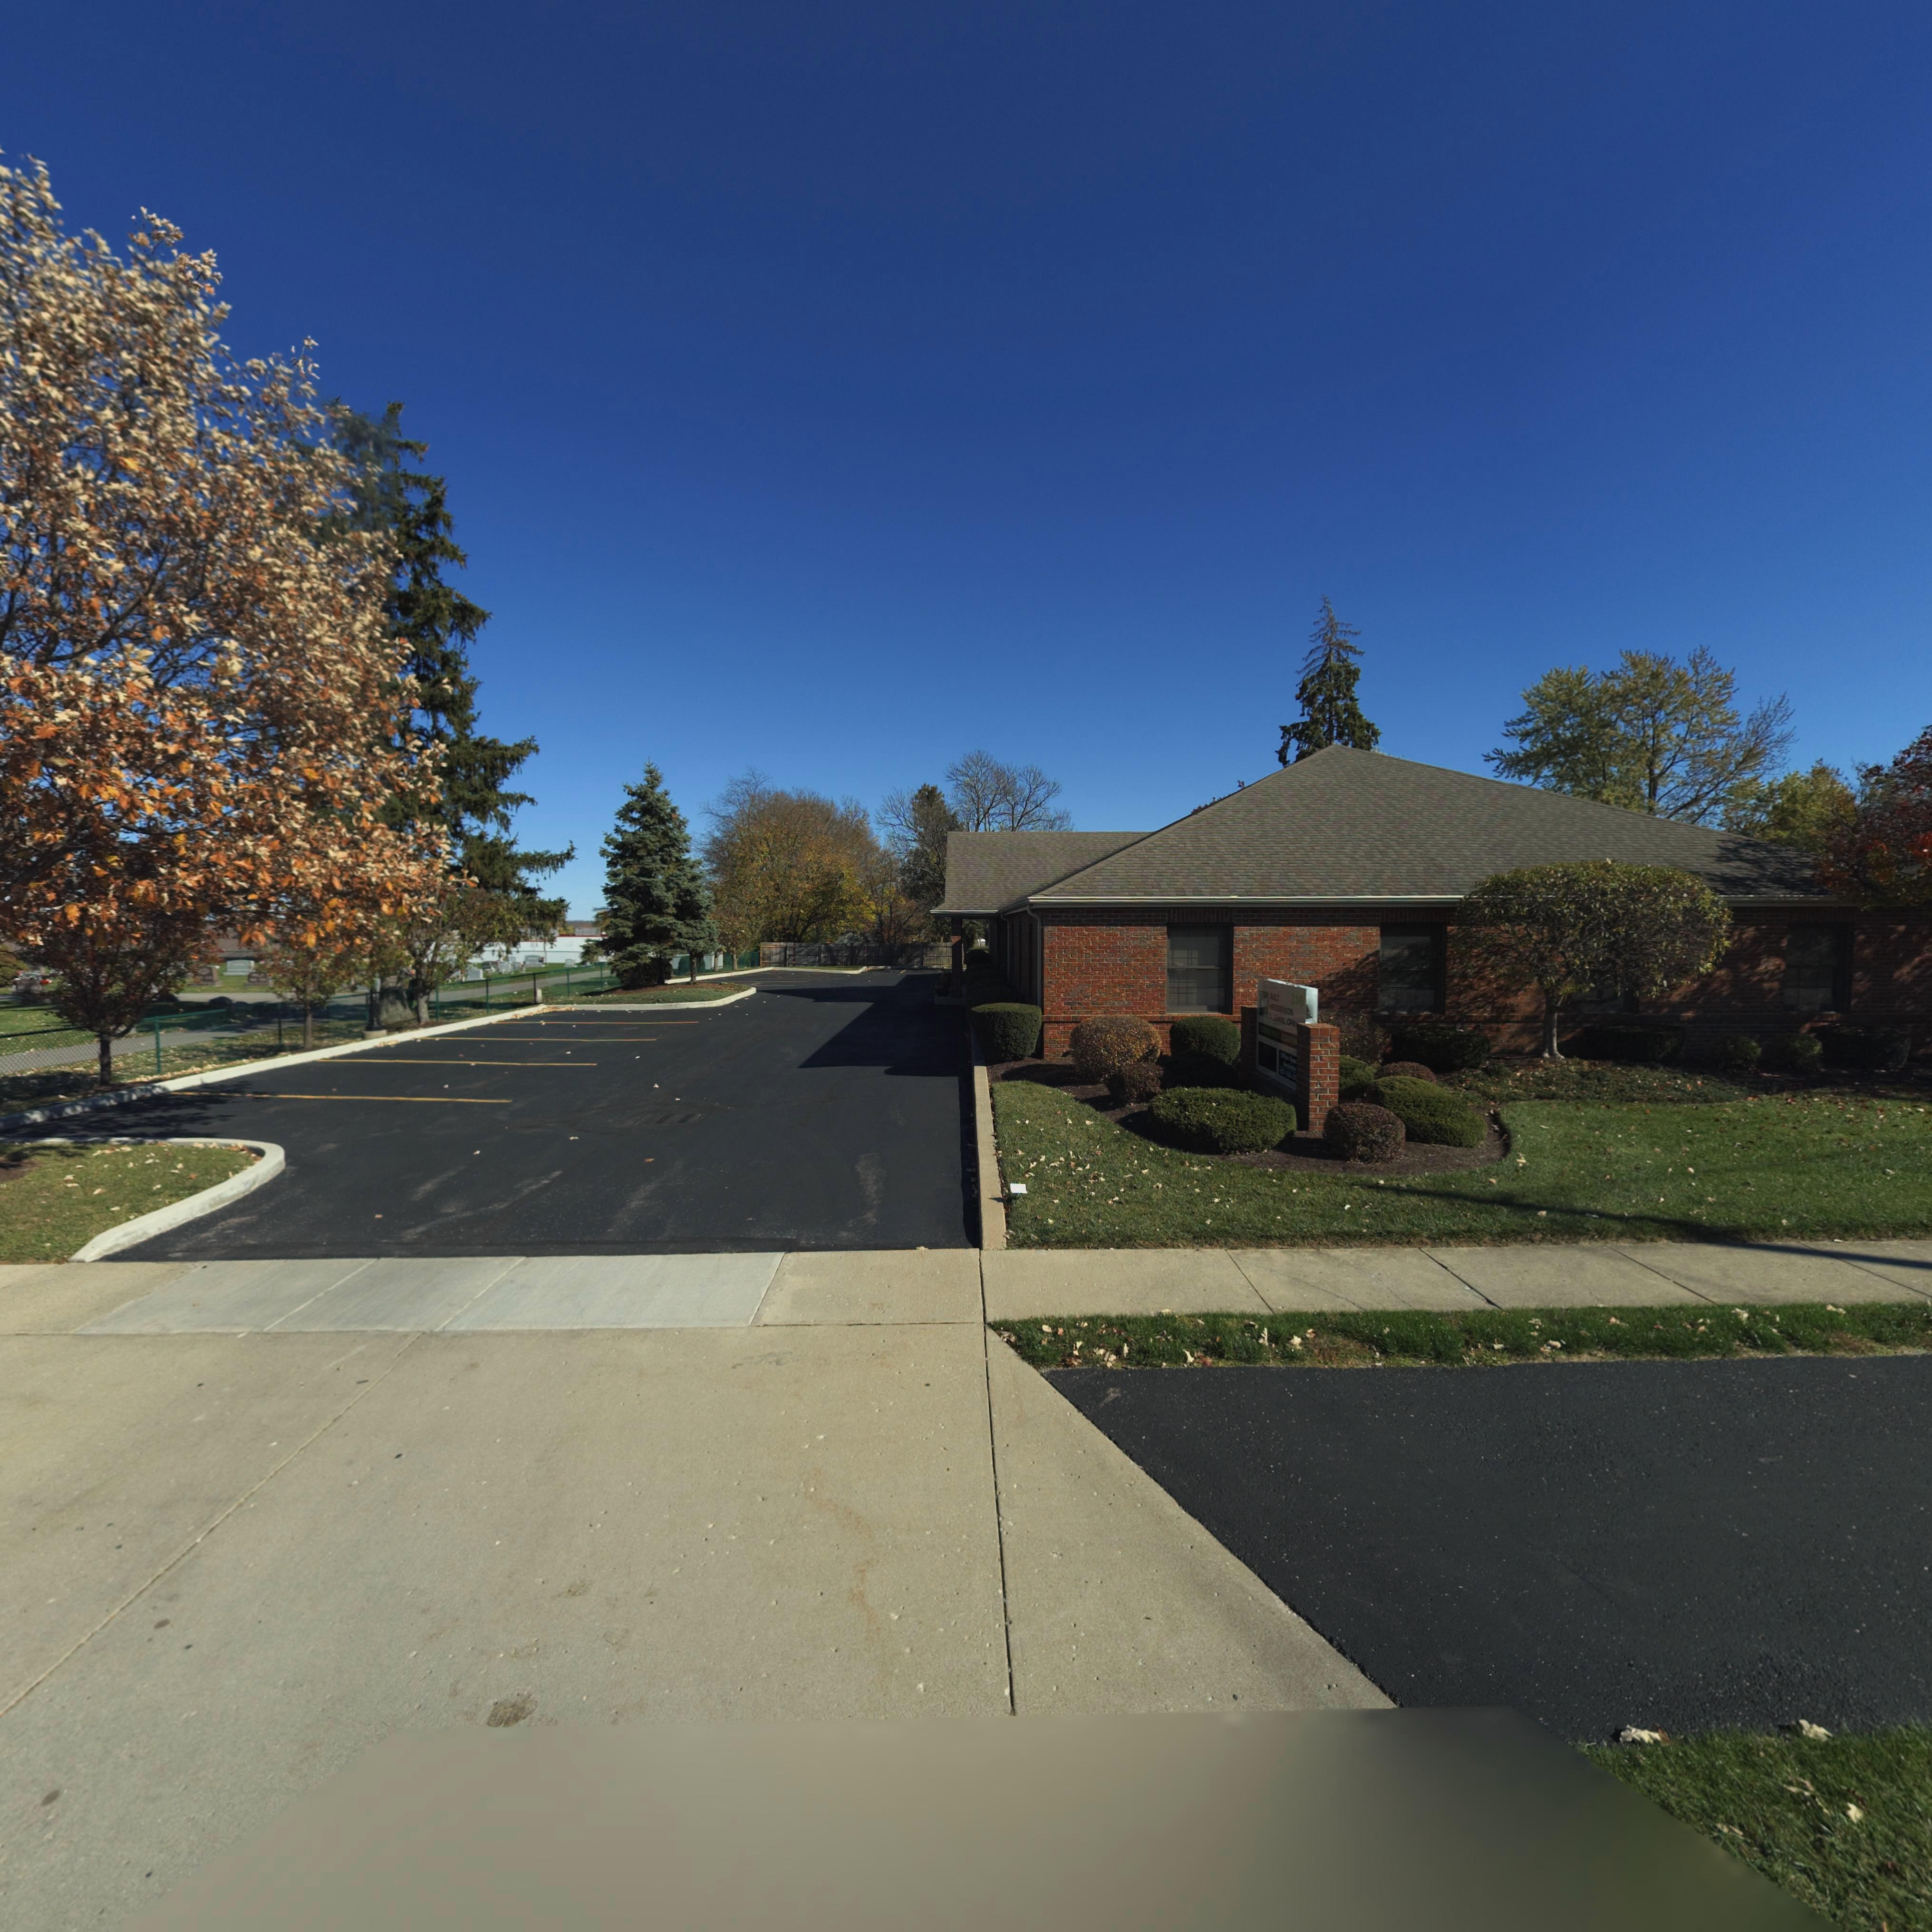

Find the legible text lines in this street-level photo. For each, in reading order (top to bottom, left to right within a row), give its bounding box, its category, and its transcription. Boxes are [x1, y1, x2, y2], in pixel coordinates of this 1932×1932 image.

[1269, 993, 1280, 1002] BusinessName: AULT
[1290, 993, 1304, 1008] StreetNumber: 310
[1268, 1002, 1294, 1017] BusinessName: HENDERSON
[1273, 1013, 1296, 1028] BusinessName: LEWIS, CPA
[1289, 1055, 1297, 1065] None: Spac
[1279, 1067, 1295, 1082] None: **7-*36-2